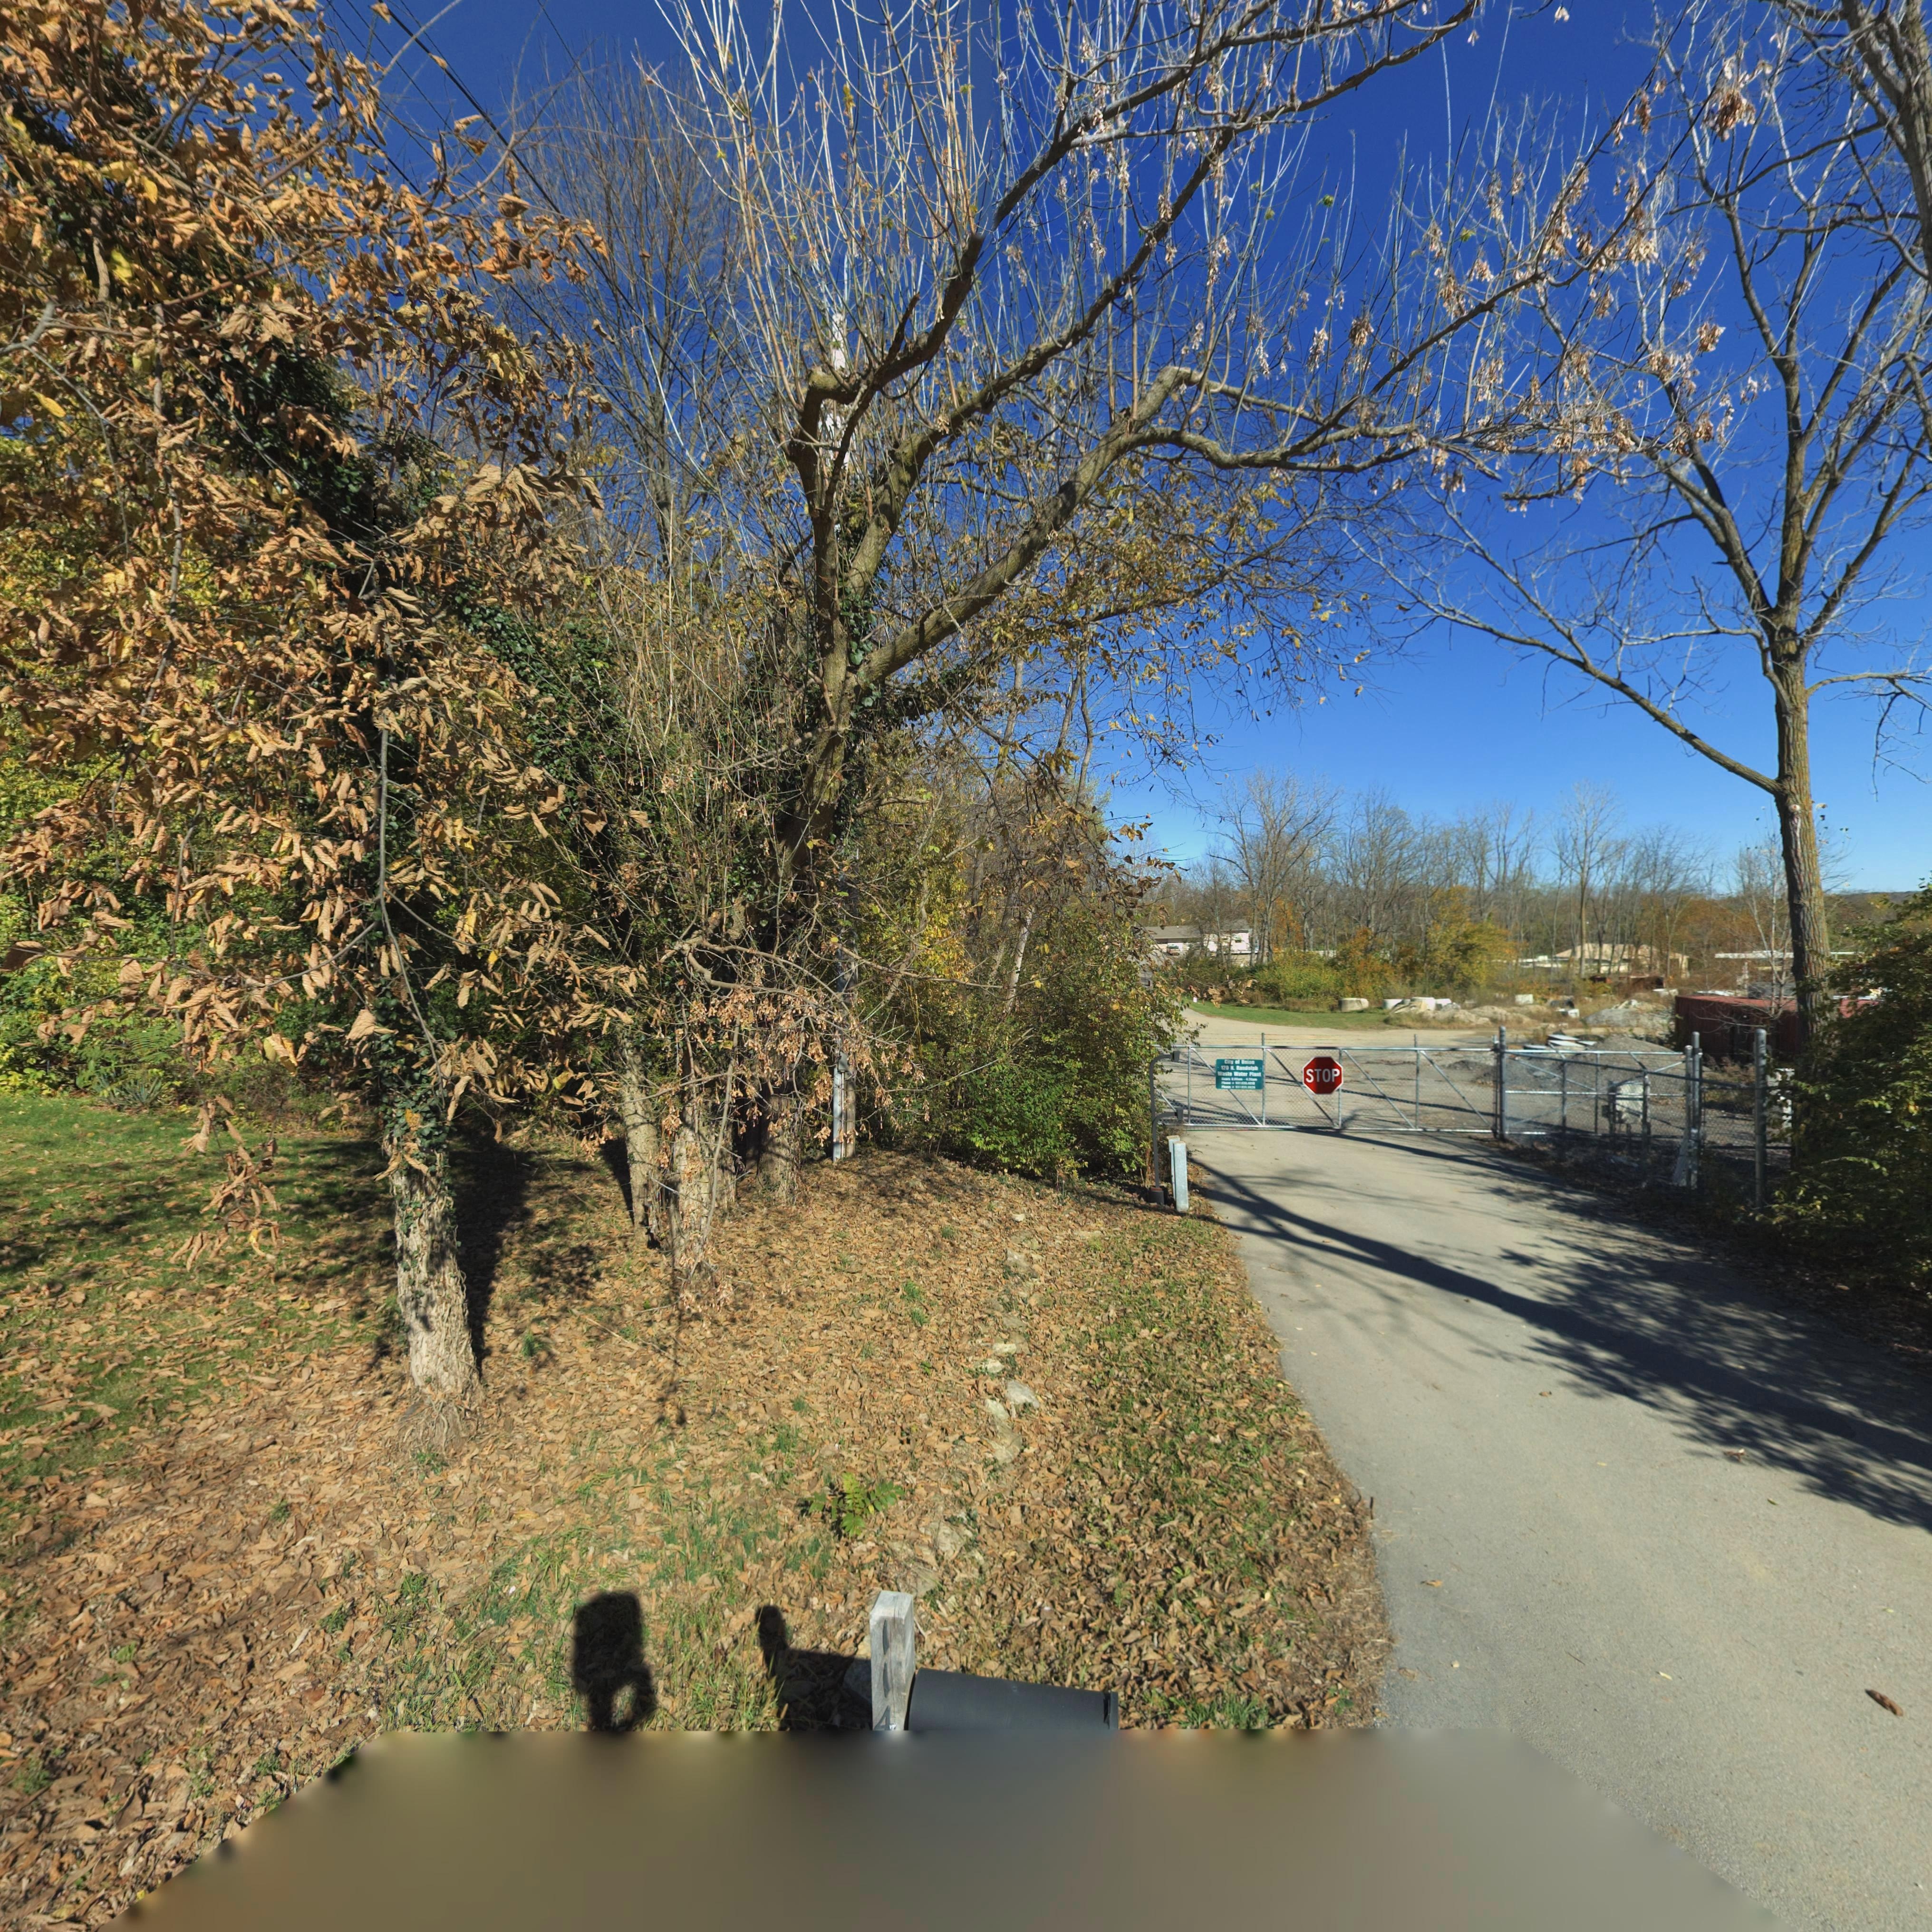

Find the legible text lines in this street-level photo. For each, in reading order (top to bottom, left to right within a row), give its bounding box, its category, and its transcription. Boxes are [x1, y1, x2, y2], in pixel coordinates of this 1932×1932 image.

[1224, 1059, 1256, 1065] None: City of Union
[1220, 1064, 1229, 1071] StreetNumber: 120
[1229, 1064, 1259, 1072] StreetName: N. Randolph
[1217, 1071, 1262, 1077] None: WASTE Water Pl***
[1305, 1068, 1341, 1083] None: STOP
[873, 1617, 897, 1735] StreetNumber: 114